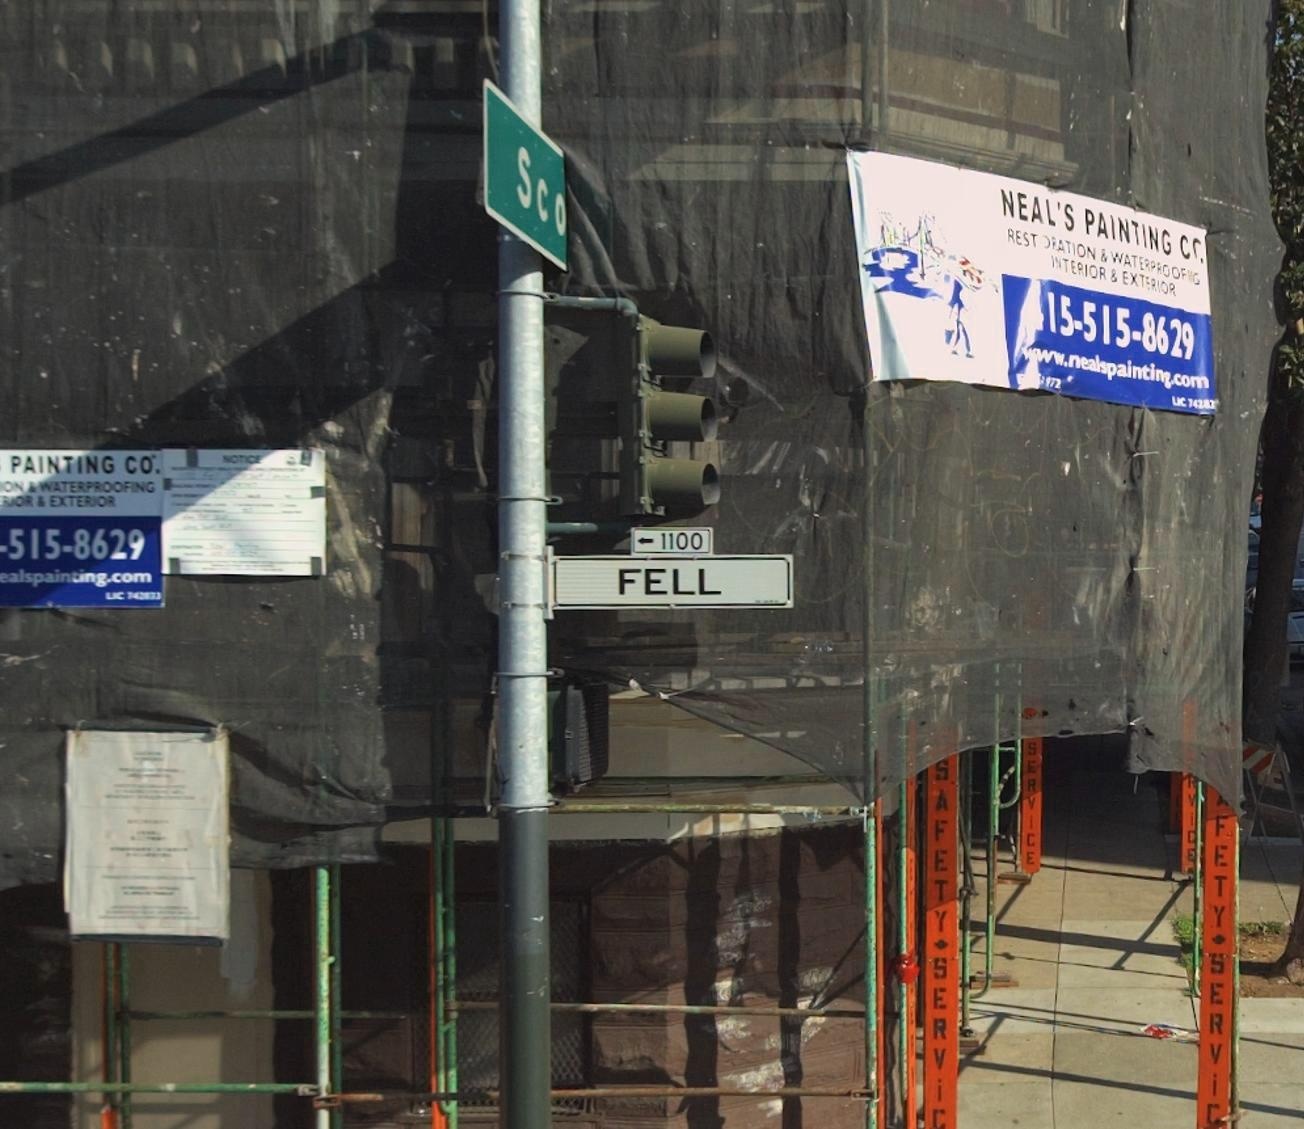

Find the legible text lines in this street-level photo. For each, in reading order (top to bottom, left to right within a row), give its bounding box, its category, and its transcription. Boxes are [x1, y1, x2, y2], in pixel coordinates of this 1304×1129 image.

[515, 142, 567, 243] StreetName: Sco
[999, 186, 1205, 266] BusinessName: NEAL'S PAINTING C*.
[1005, 225, 1203, 287] None: RESTORATION & WATERPROOF*G
[1050, 253, 1178, 298] None: INTERIOR & EXTERIOR
[1045, 289, 1201, 362] None: 15-515-8629
[1043, 375, 1063, 390] None: 972
[1018, 345, 1210, 392] None: www.nealspainting.com
[1170, 393, 1216, 413] None: L*C 74283
[0, 494, 119, 510] None: RJOT & EXTERIOR
[2, 478, 157, 496] None: ON & WATERPROOFING
[8, 452, 160, 477] None: PAINTING CO.
[221, 454, 262, 466] None: NOTICE
[7, 526, 148, 563] None: 515-8629
[635, 529, 703, 551] StreetNumberRange: <-1100
[0, 566, 152, 588] None: ealspainting.com
[616, 562, 723, 599] StreetName: FELL
[1024, 739, 1040, 871] None: SERVICE
[1184, 773, 1198, 865] None: RVICE
[931, 752, 952, 1127] None: SAFETY*SERVIC
[1204, 812, 1234, 1127] None: FETY*SERVIC